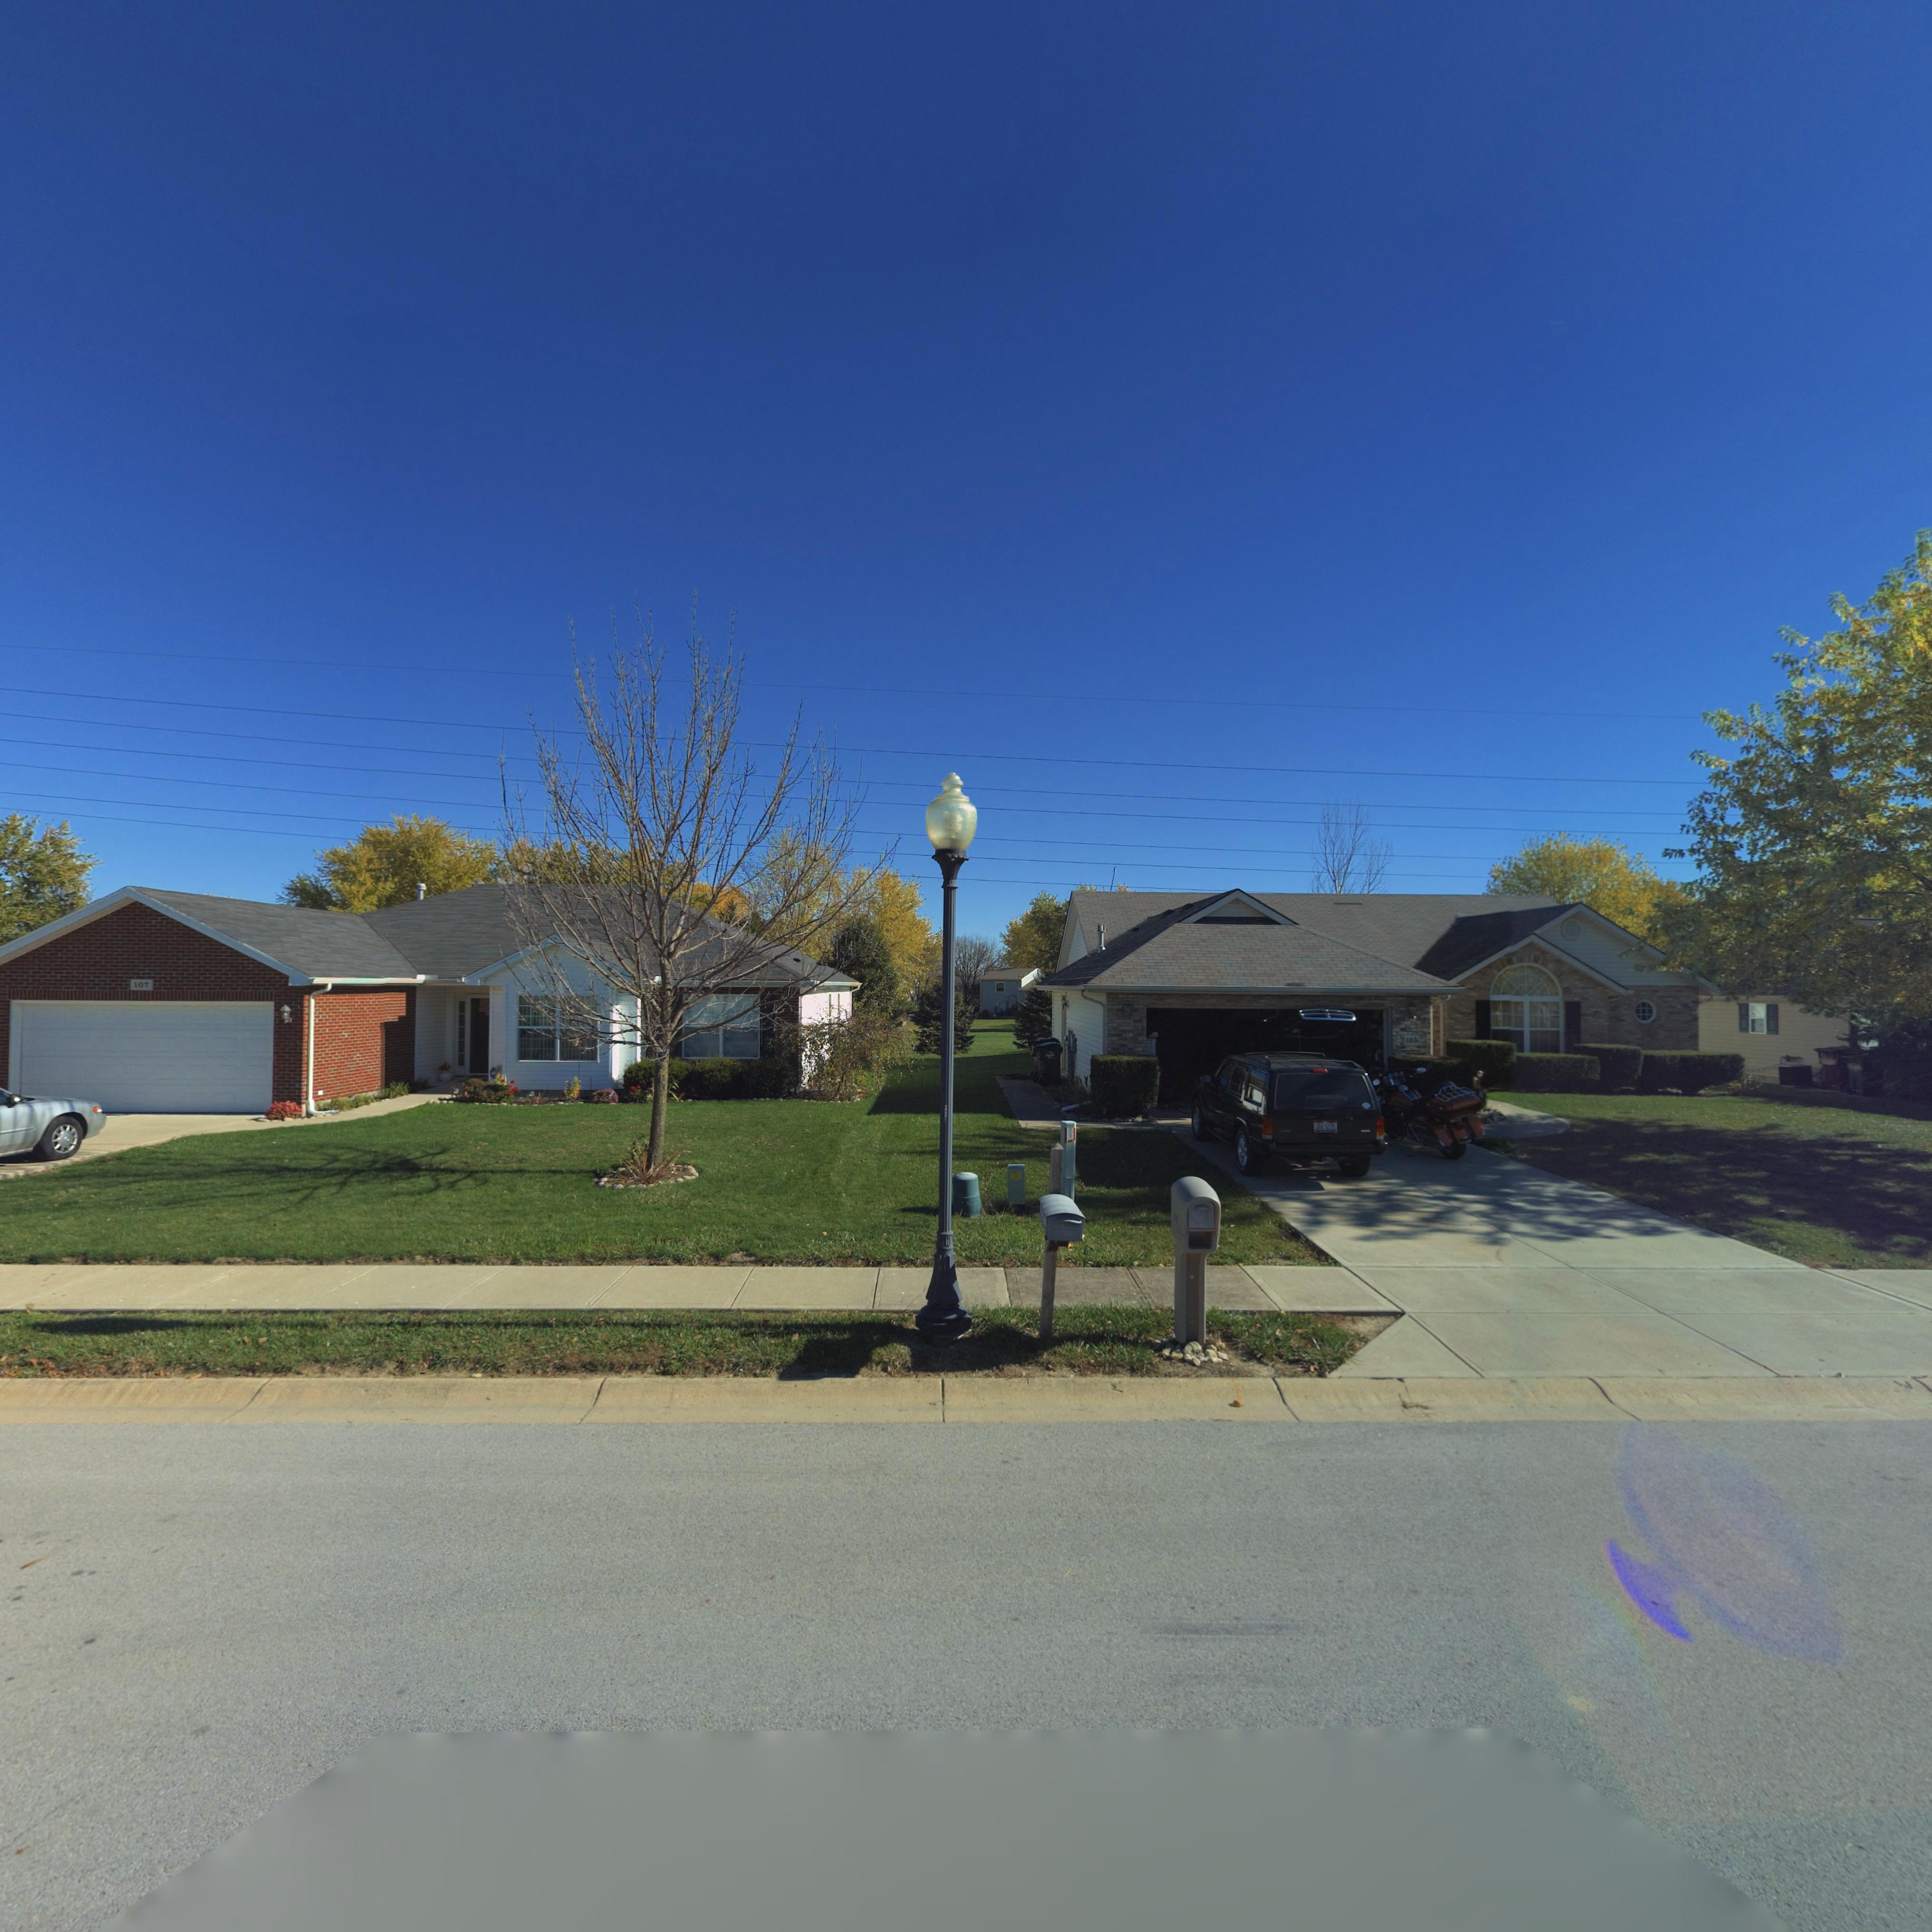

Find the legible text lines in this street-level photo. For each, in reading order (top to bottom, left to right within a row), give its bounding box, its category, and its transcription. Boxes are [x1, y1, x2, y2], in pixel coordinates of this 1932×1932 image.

[133, 981, 150, 989] StreetNumber: 107
[1405, 1036, 1419, 1044] StreetNumber: 10*